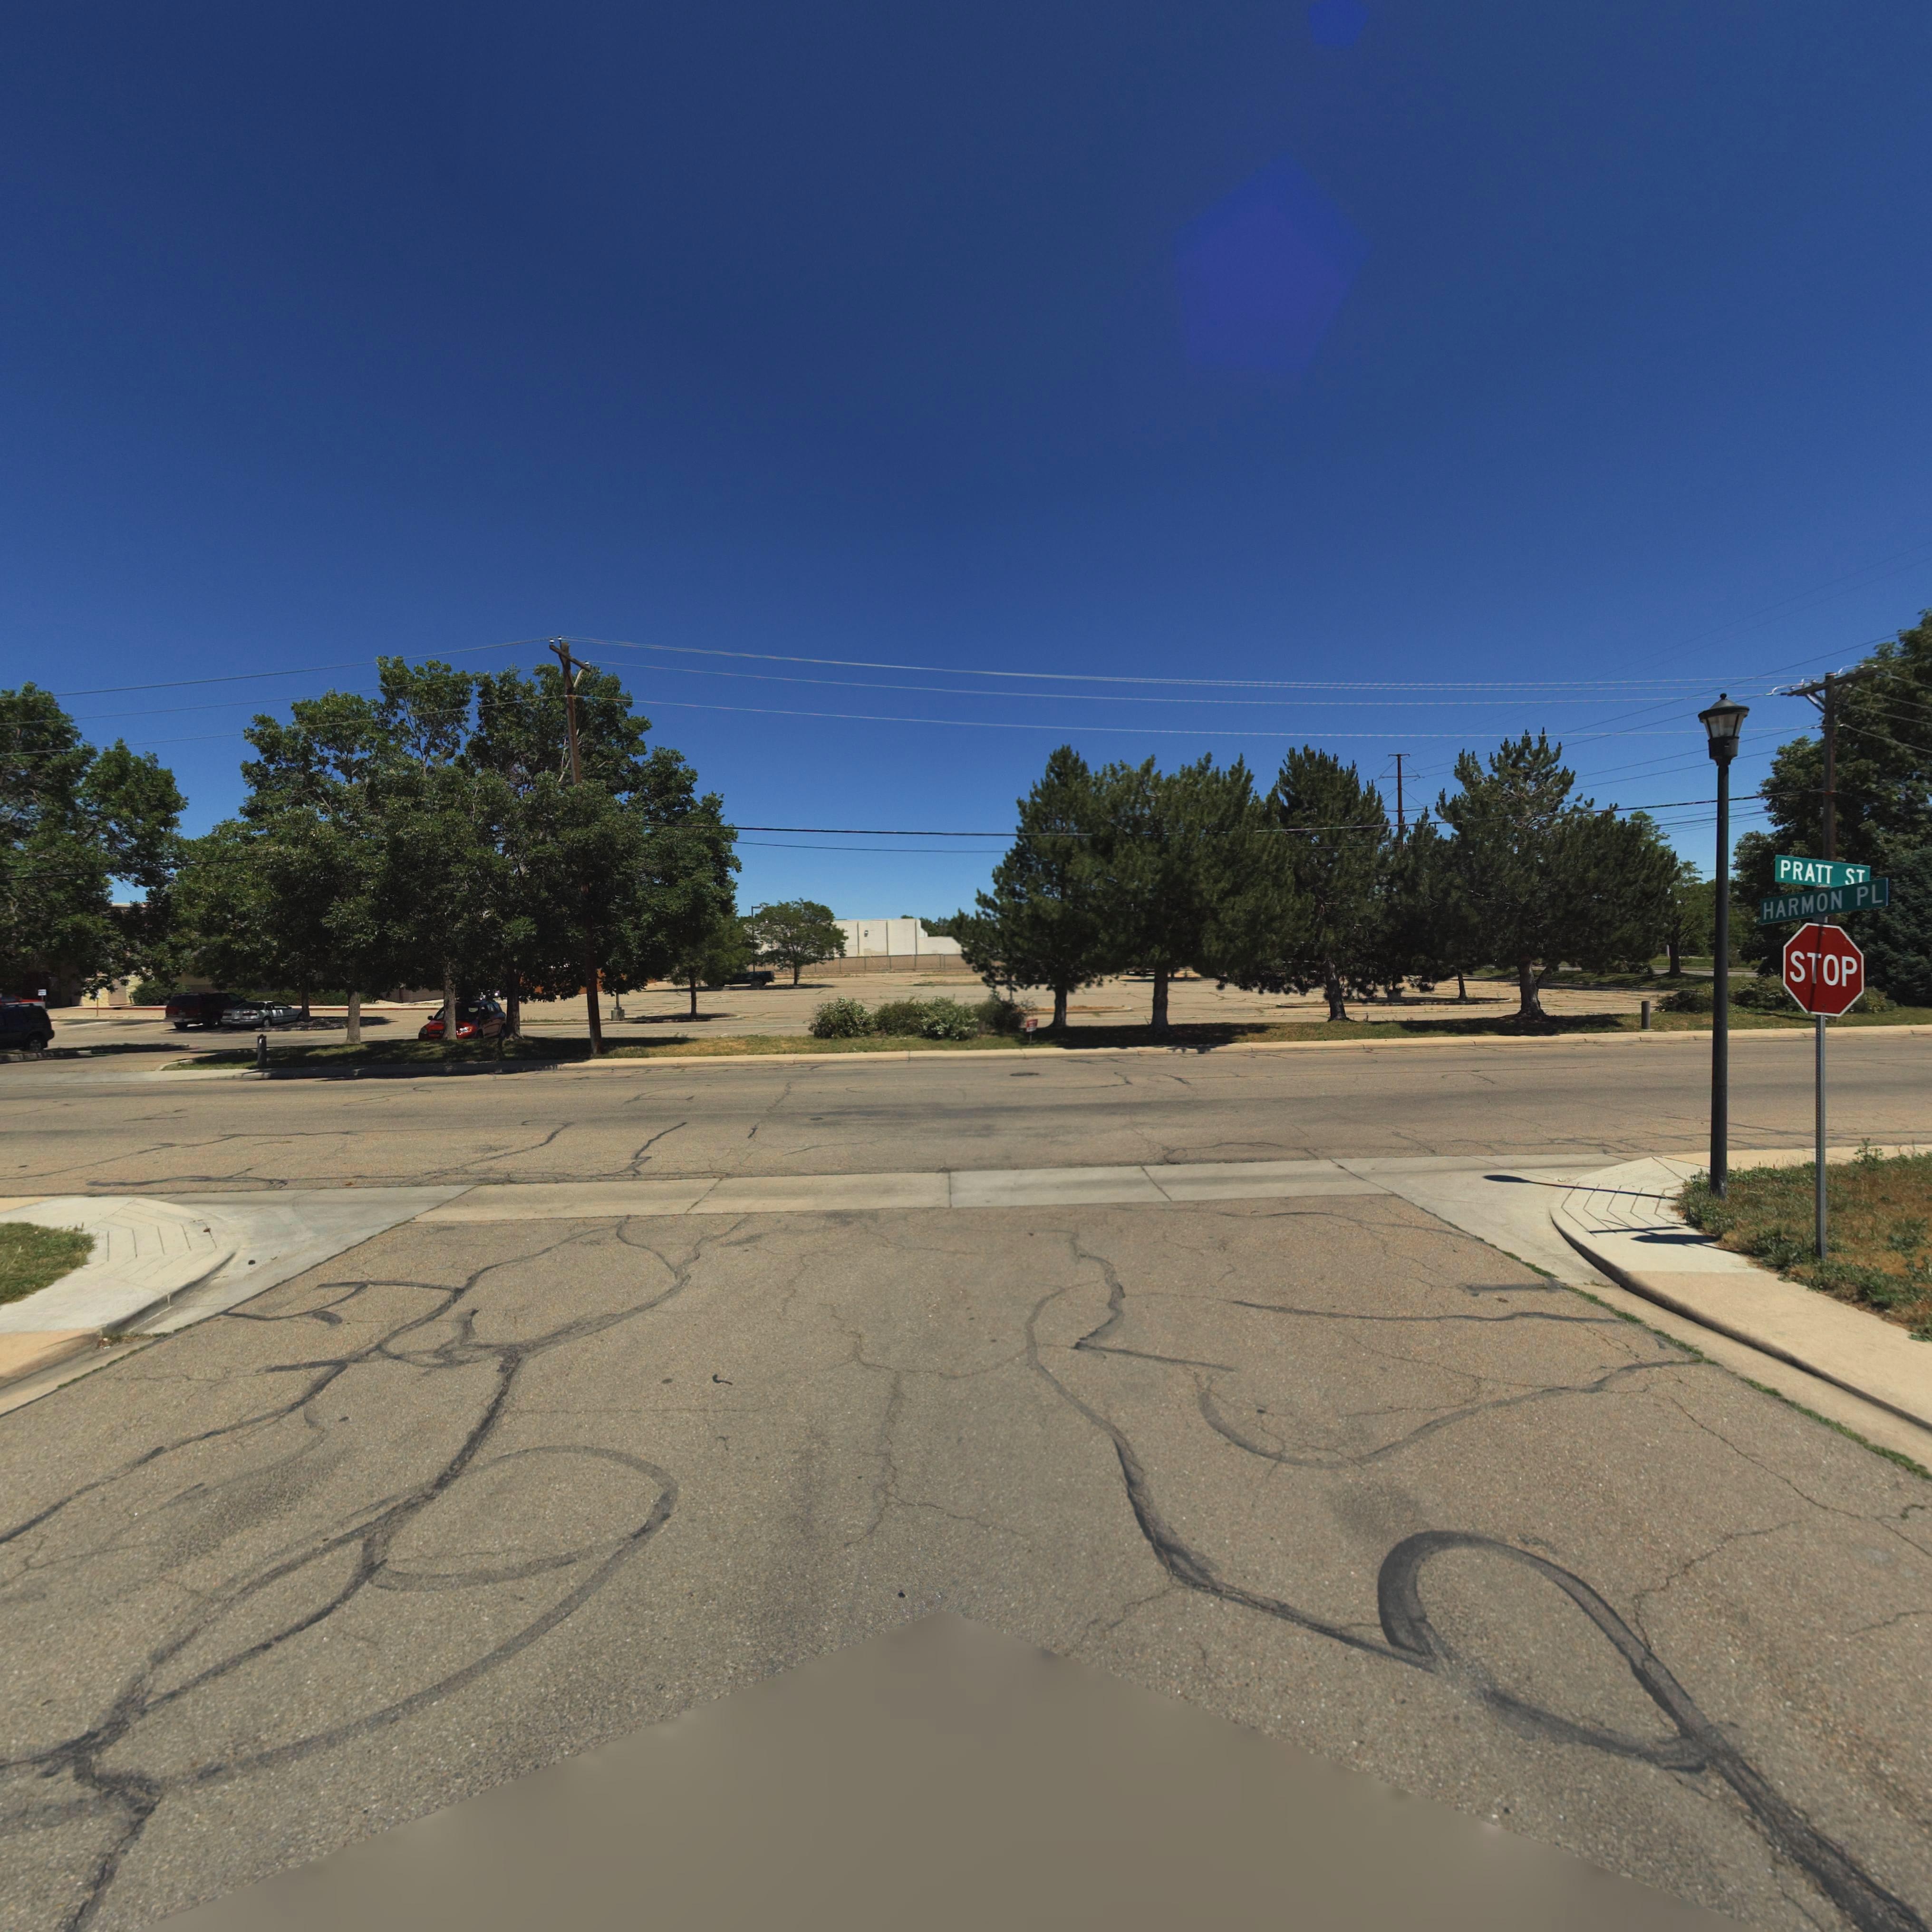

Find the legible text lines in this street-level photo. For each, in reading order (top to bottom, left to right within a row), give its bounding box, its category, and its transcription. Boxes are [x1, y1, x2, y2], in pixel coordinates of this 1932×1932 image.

[1780, 859, 1867, 885] StreetName: PRATT ST
[1762, 883, 1885, 921] StreetName: HARMON PL